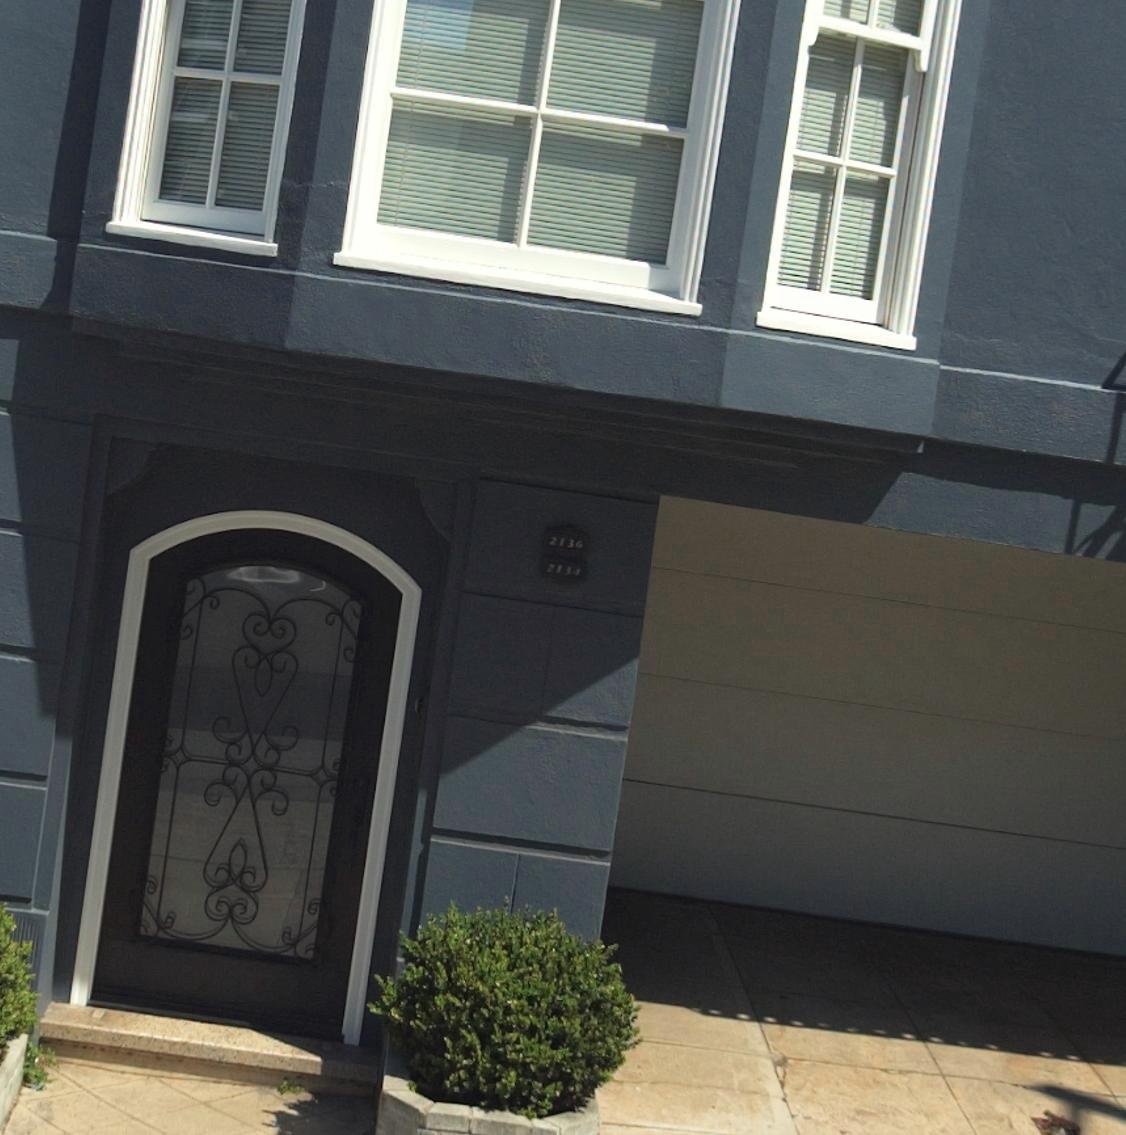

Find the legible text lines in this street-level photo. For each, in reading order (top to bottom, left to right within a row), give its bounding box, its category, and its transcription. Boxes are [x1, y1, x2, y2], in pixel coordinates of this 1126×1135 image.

[547, 535, 584, 550] StreetNumber: 2136
[546, 563, 582, 577] StreetNumber: 2134